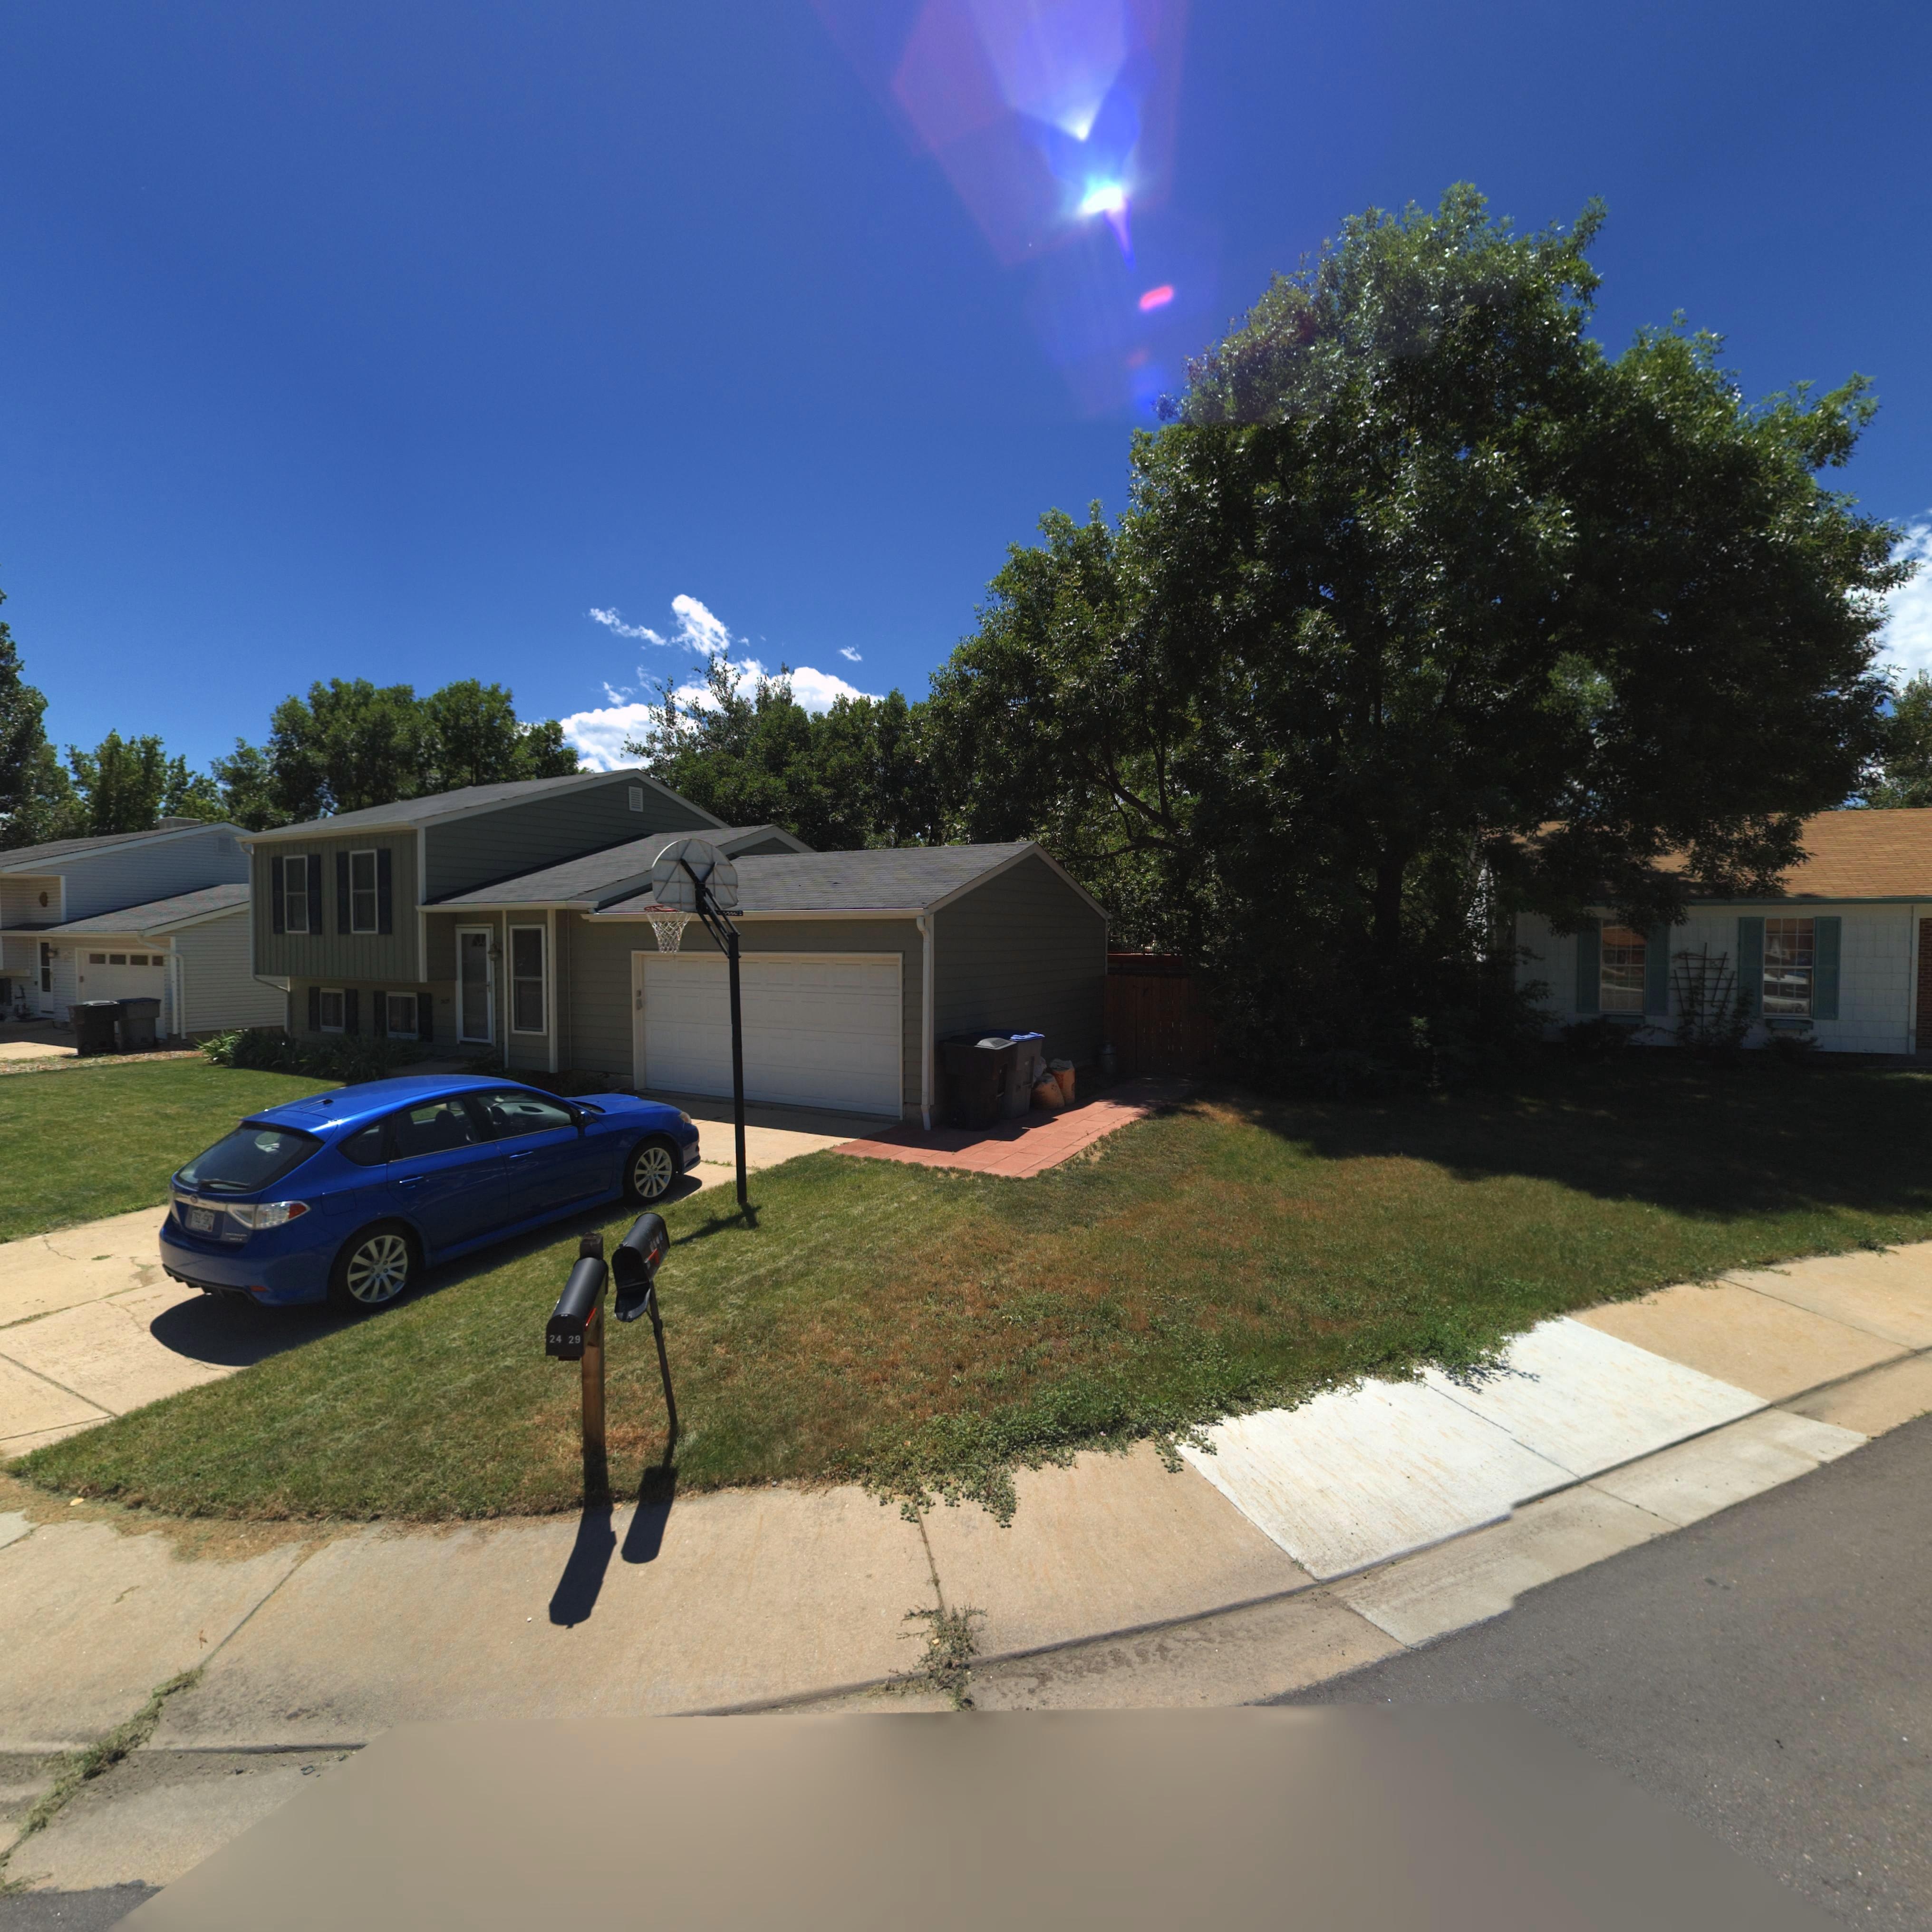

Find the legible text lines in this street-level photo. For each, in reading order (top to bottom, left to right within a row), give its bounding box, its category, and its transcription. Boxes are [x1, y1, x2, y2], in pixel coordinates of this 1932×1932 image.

[440, 997, 450, 1004] StreetNumber: 2*2*
[549, 1334, 581, 1344] StreetNumber: 2429